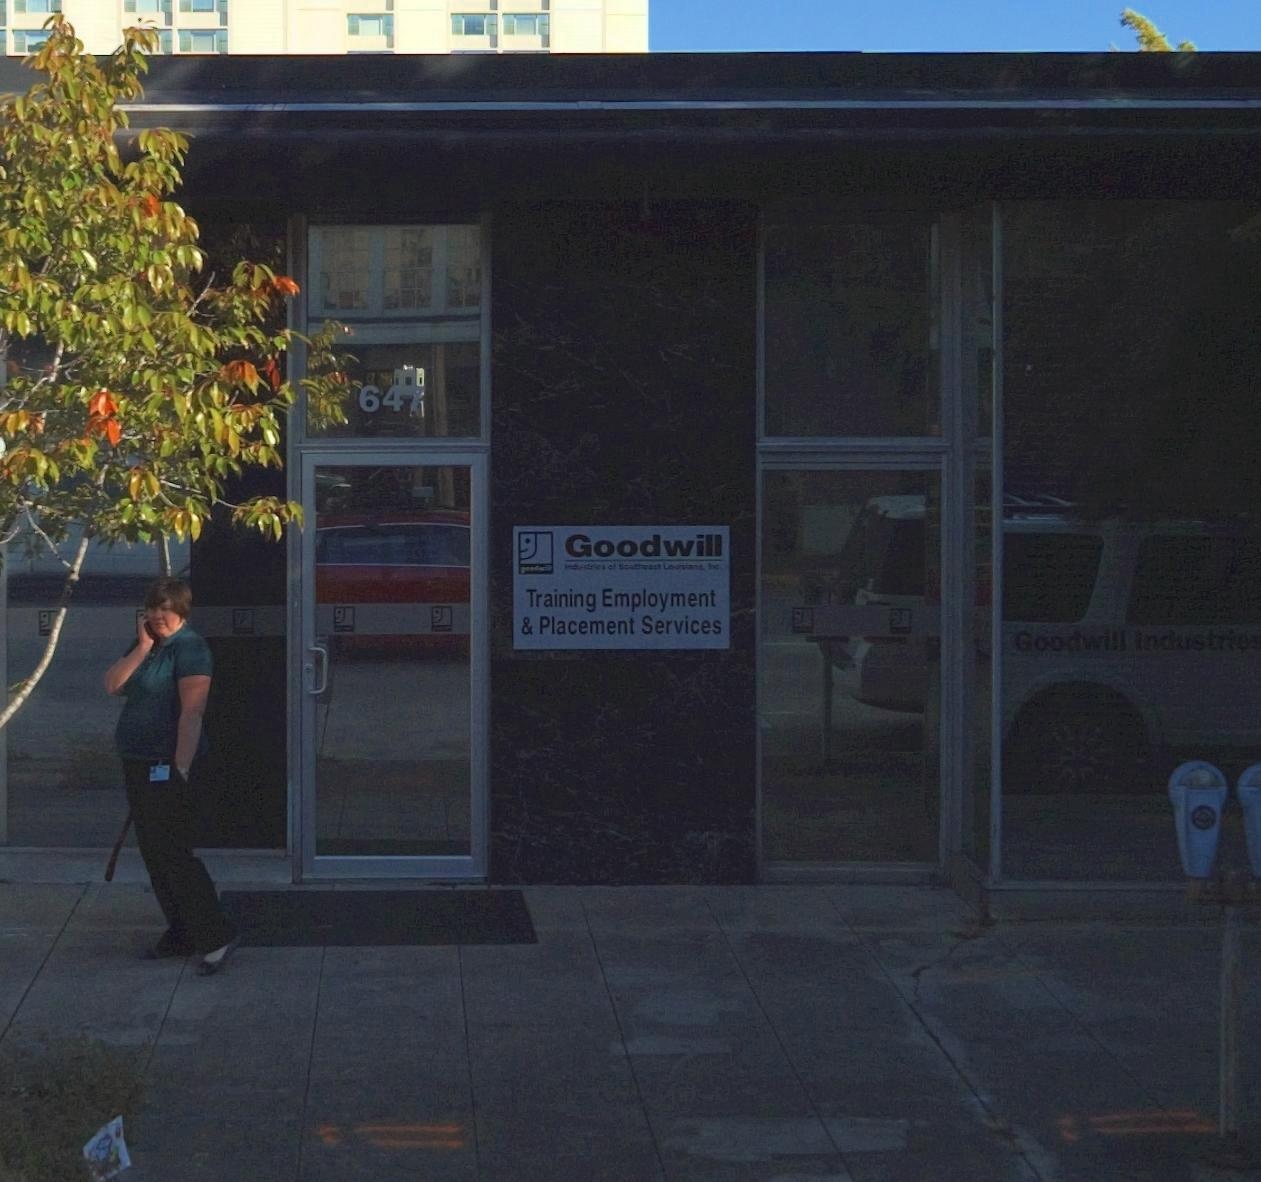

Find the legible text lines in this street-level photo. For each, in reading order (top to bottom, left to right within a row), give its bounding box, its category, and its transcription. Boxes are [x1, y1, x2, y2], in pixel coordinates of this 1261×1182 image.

[355, 381, 428, 414] StreetNumber: 647
[563, 532, 724, 559] BusinessName: Goodwill
[523, 586, 715, 613] None: Training Employment
[519, 613, 722, 635] None: & Placement Services
[1011, 626, 1251, 654] BusinessName: Goodwill Industries